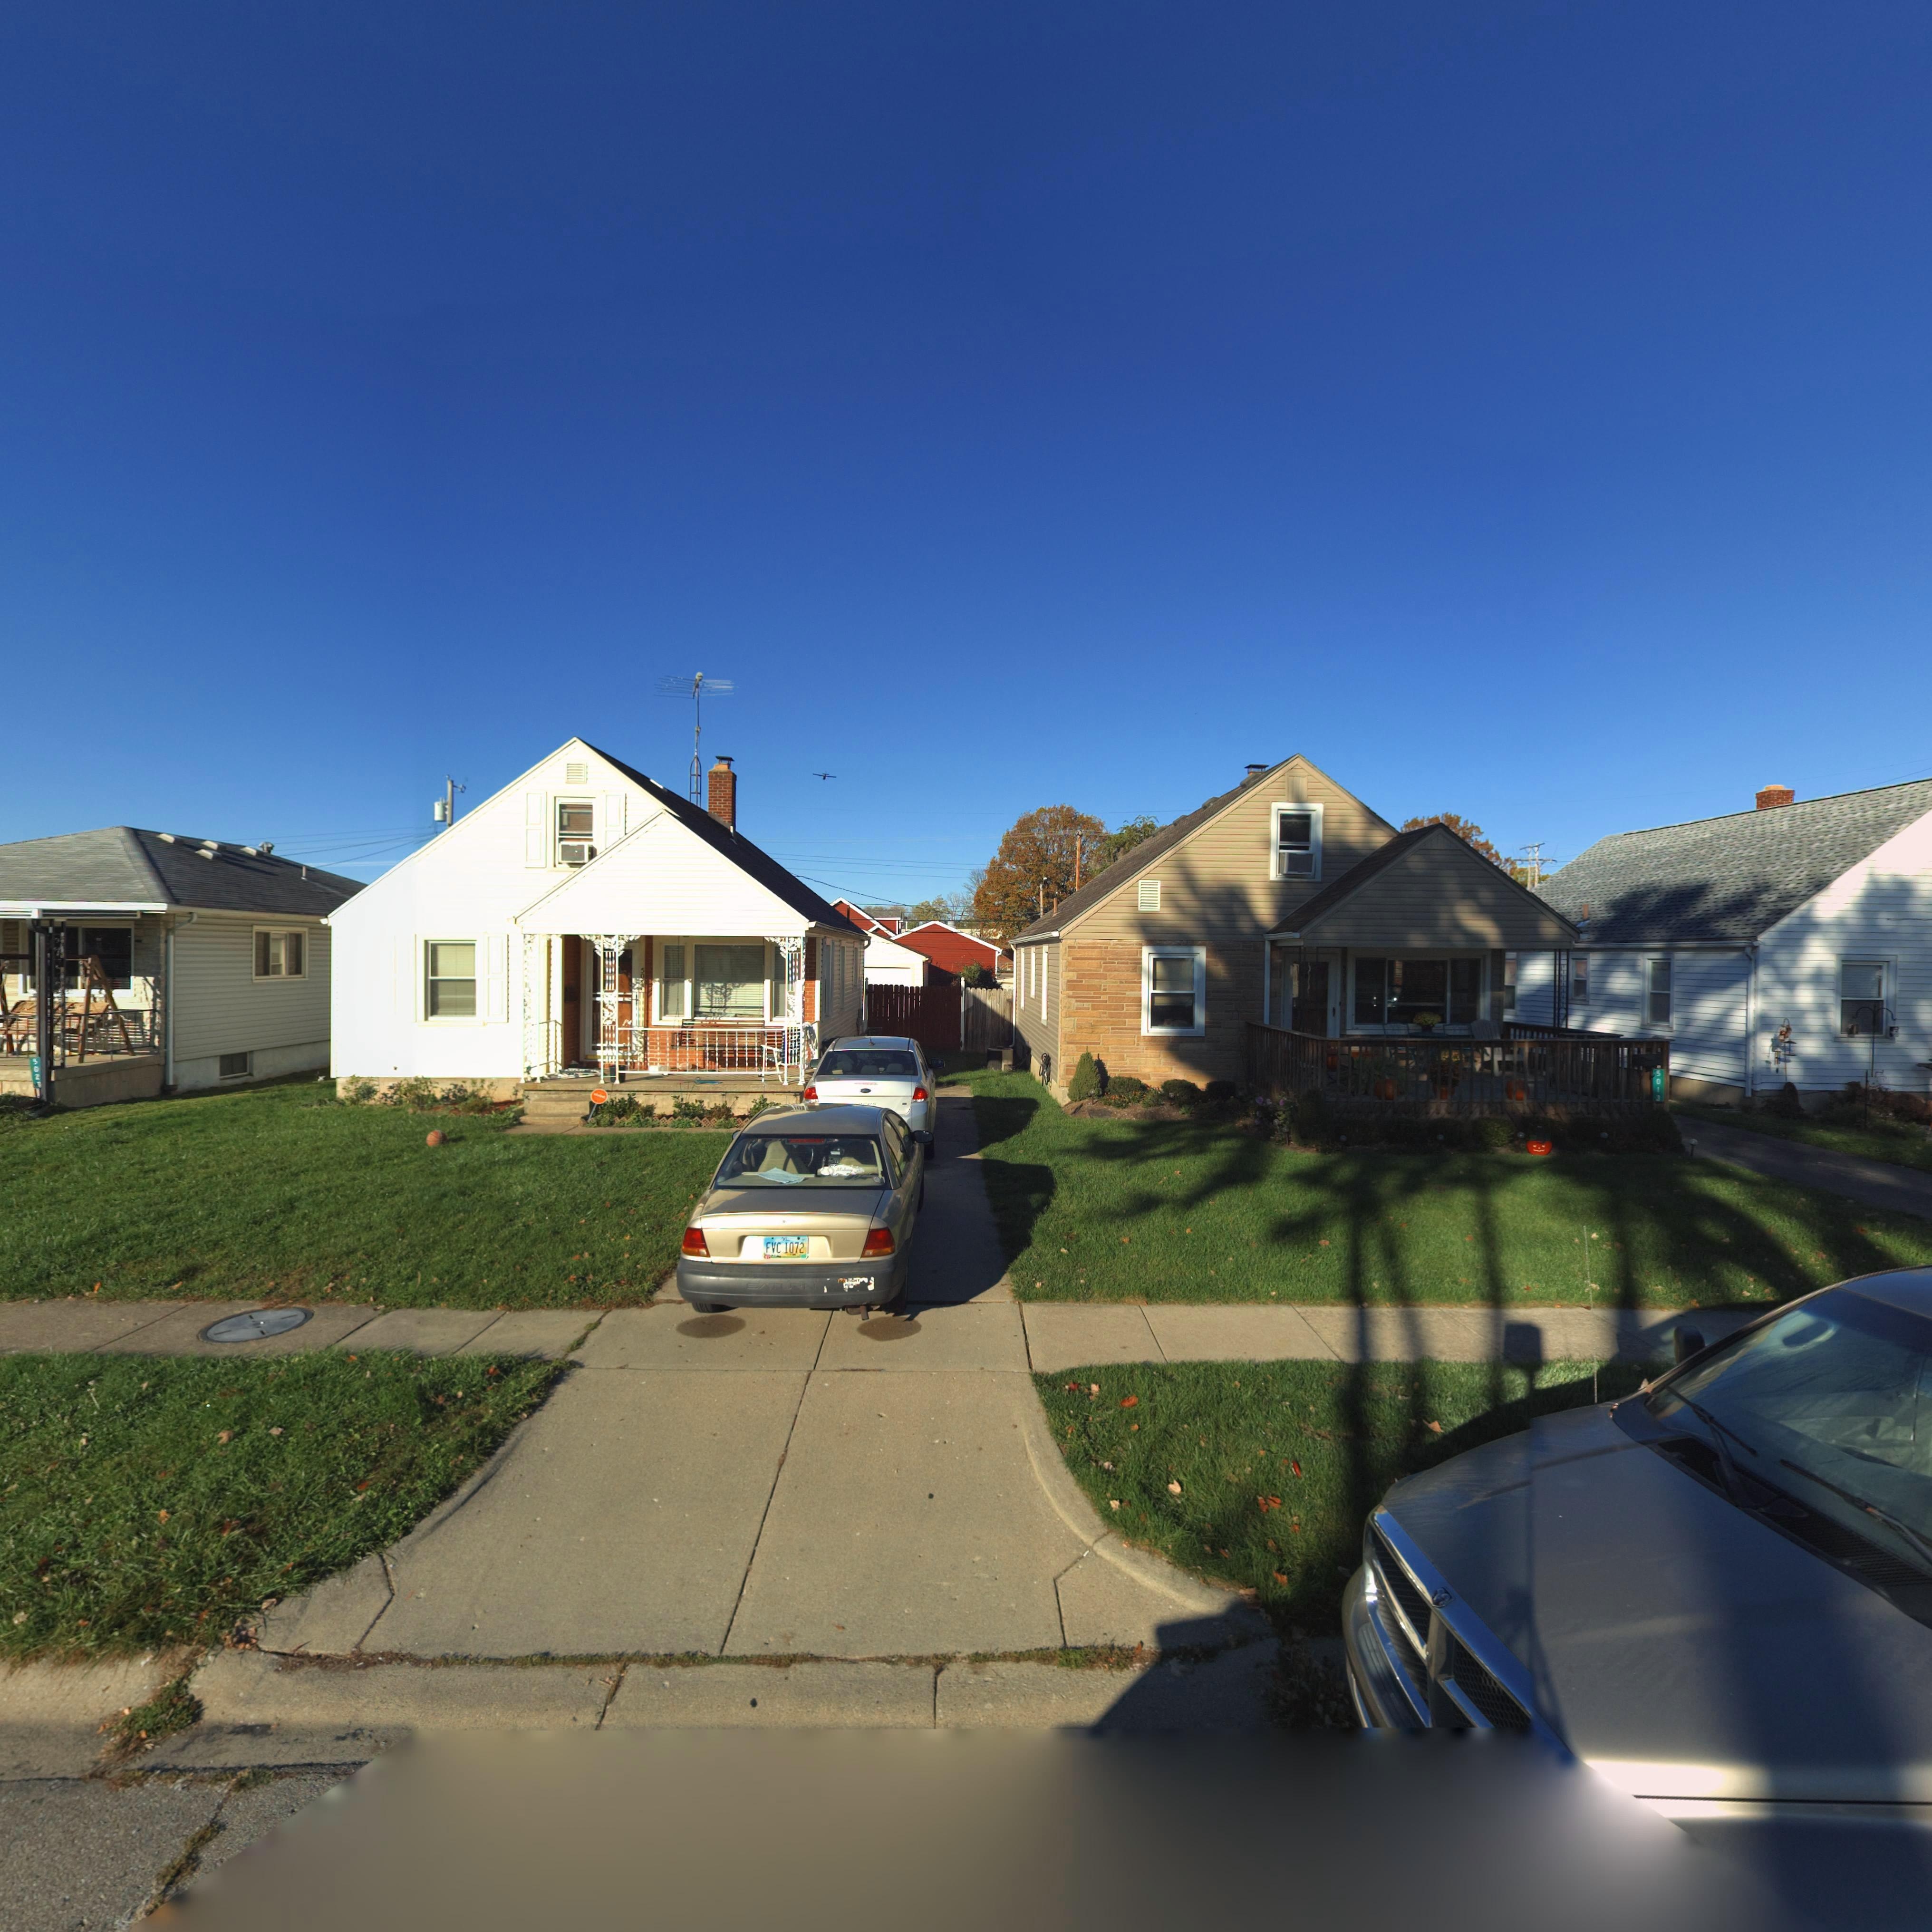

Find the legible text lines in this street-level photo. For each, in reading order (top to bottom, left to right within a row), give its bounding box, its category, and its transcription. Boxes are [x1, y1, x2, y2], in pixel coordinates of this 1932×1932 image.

[640, 966, 645, 989] StreetNumber: 50**
[31, 1058, 43, 1089] StreetNumber: 502*
[1655, 1070, 1661, 1102] StreetNumber: 5013